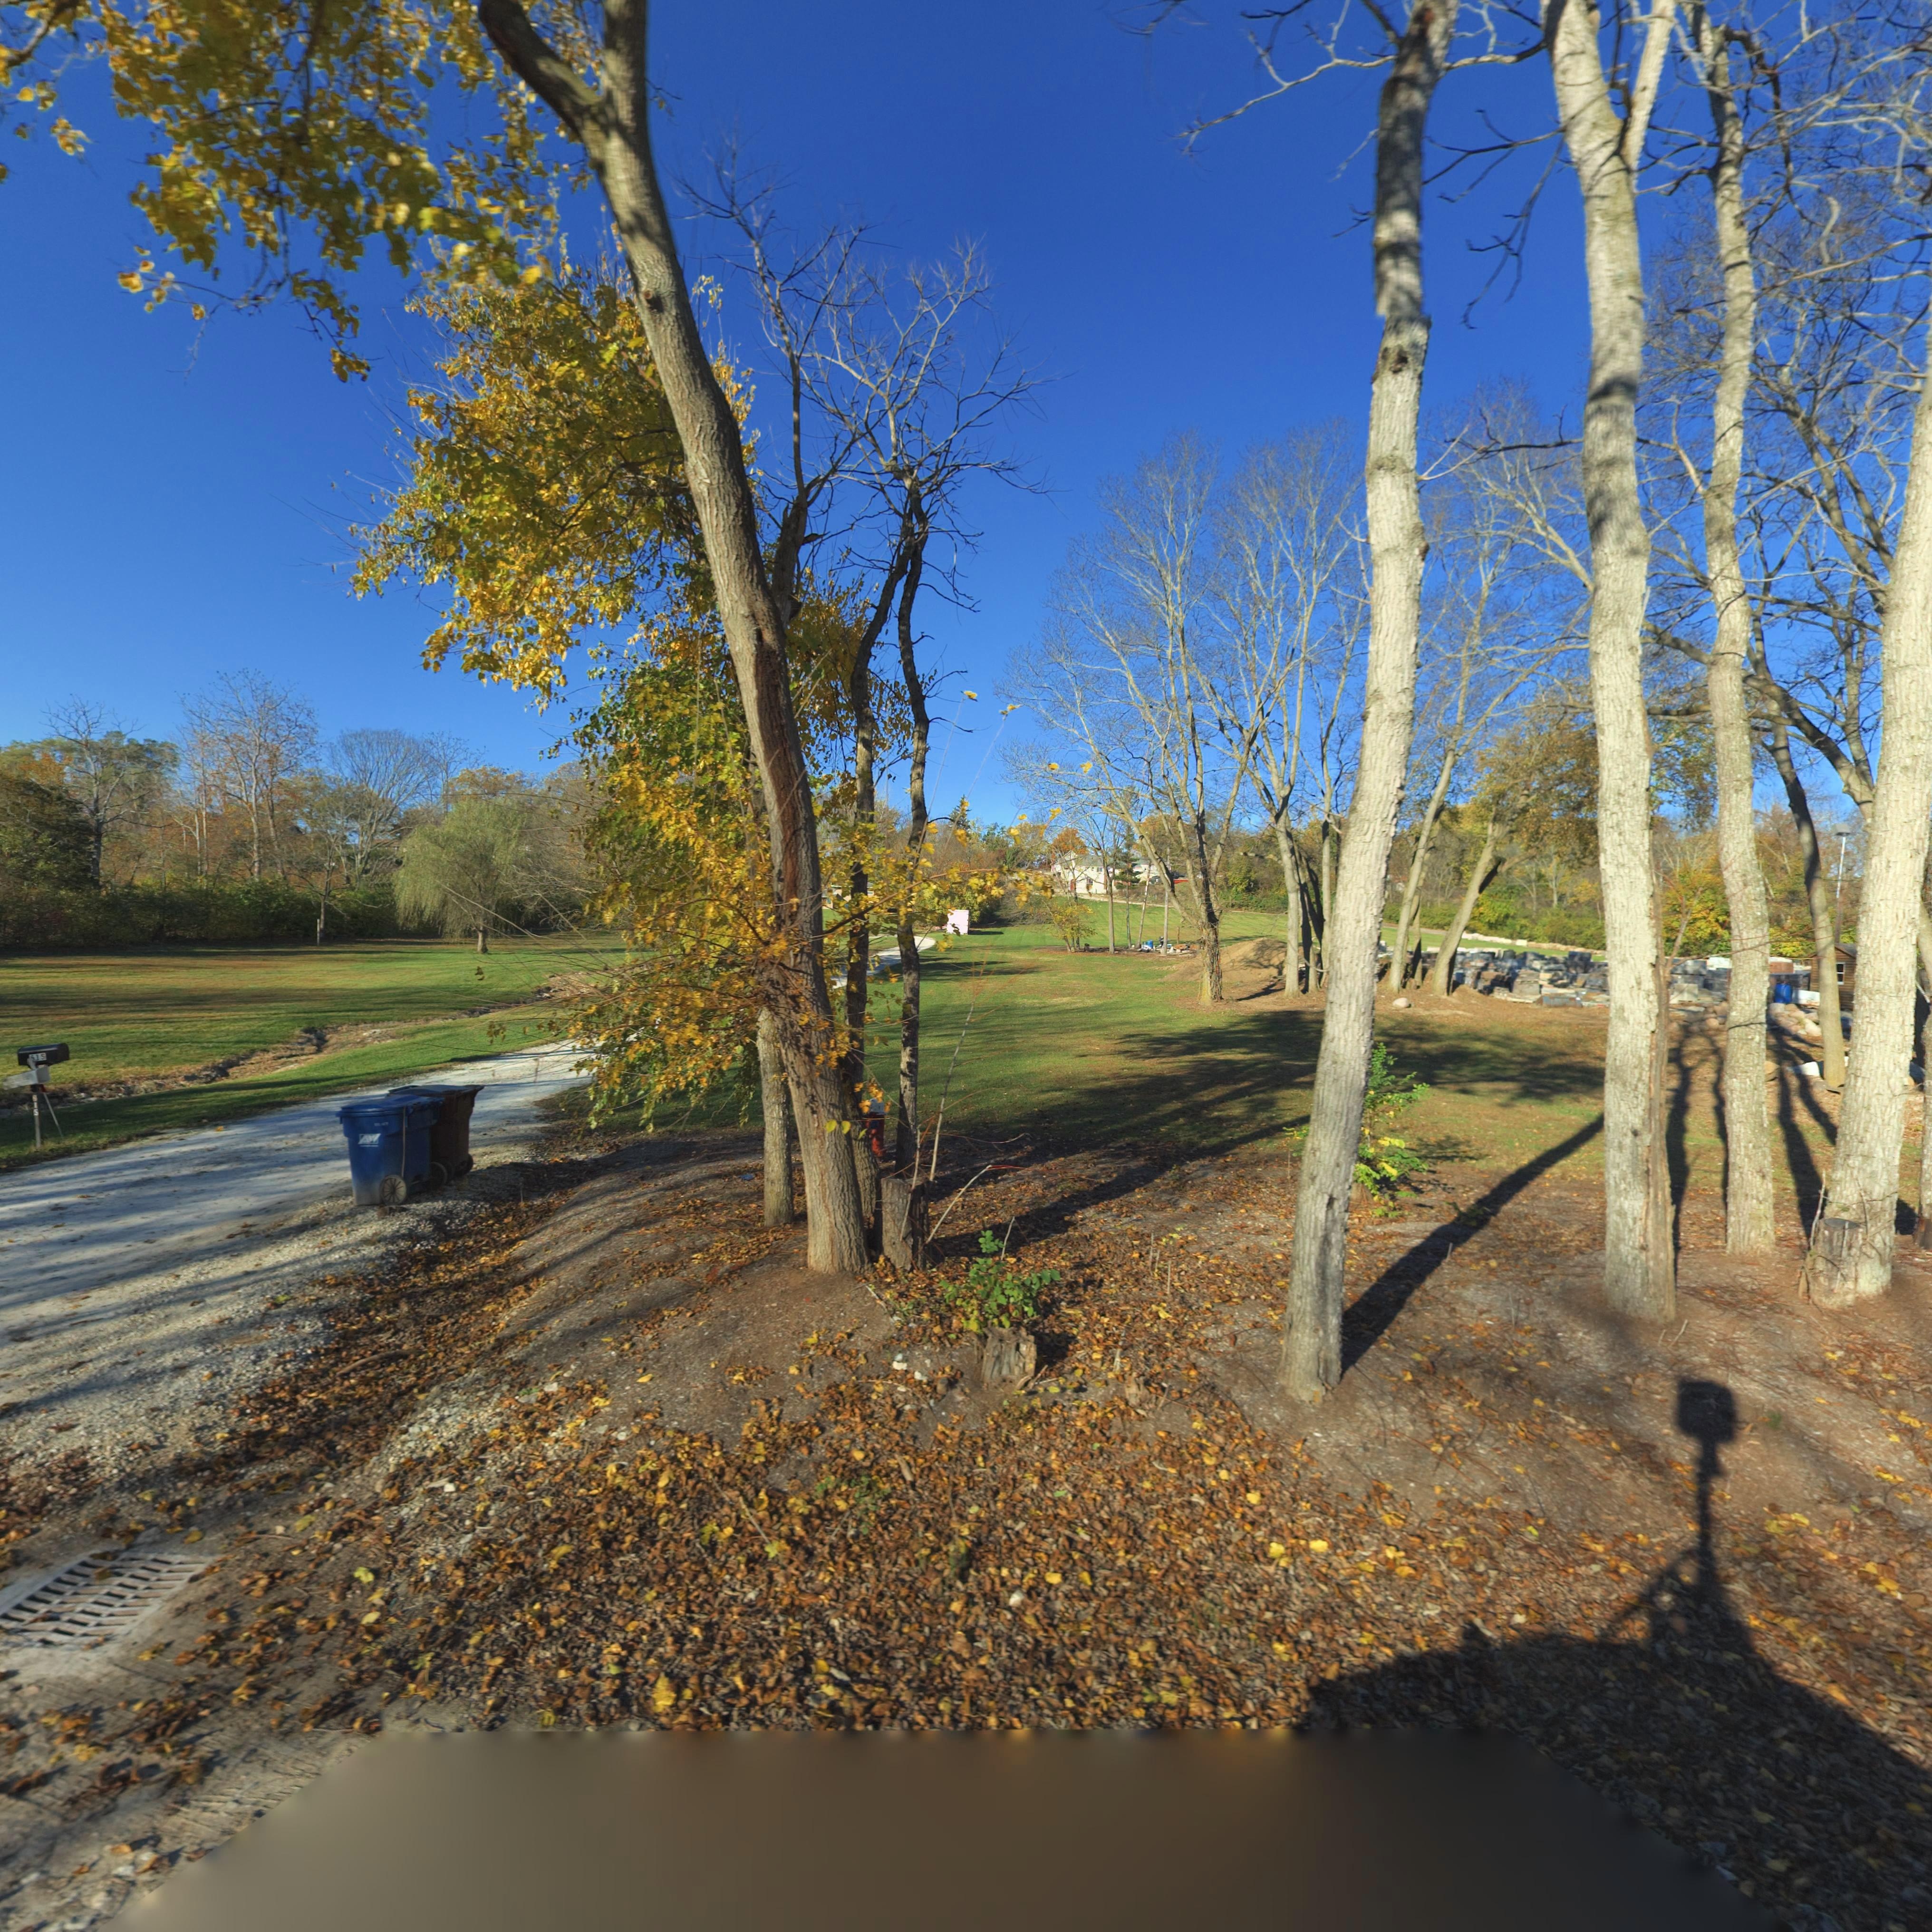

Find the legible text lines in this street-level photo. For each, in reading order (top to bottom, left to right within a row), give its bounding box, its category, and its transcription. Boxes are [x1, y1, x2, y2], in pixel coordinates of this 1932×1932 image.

[30, 1053, 46, 1062] StreetNumber: *15
[31, 1094, 39, 1116] StreetNumber: 615
[356, 1134, 382, 1146] None: AW